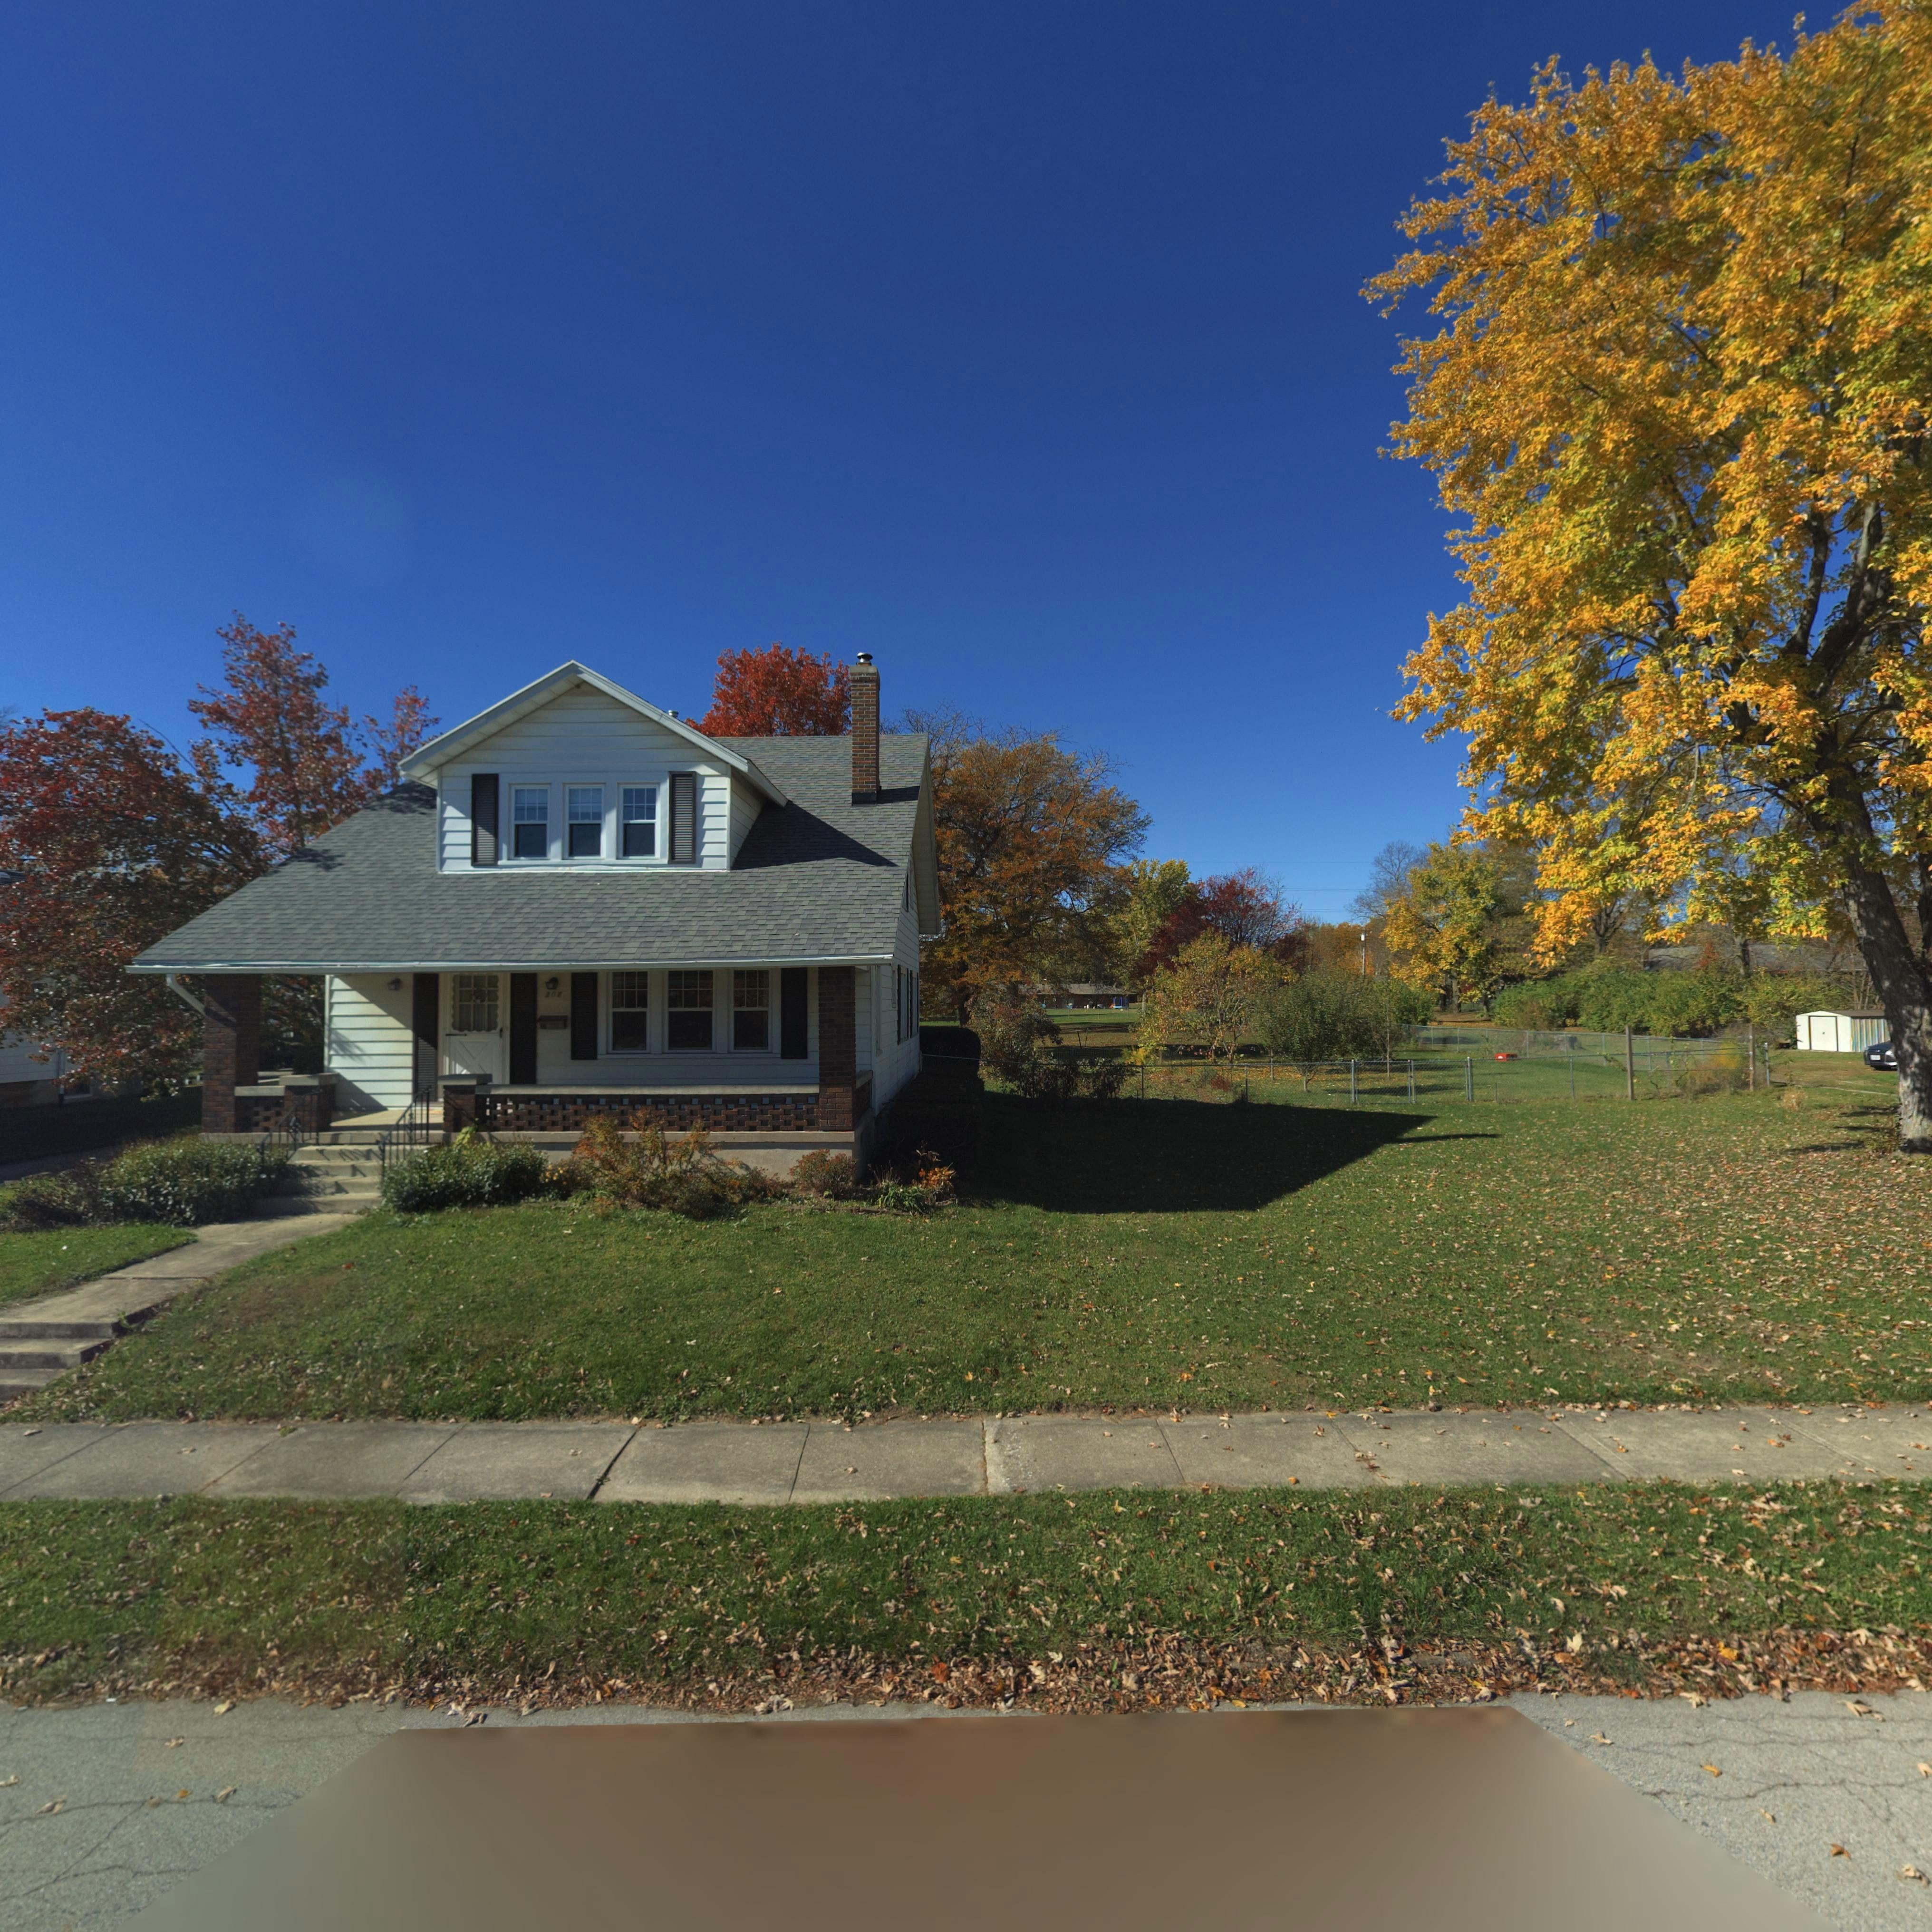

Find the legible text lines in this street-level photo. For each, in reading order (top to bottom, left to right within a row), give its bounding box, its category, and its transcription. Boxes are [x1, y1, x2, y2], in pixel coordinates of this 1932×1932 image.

[545, 991, 562, 998] StreetNumber: 20*